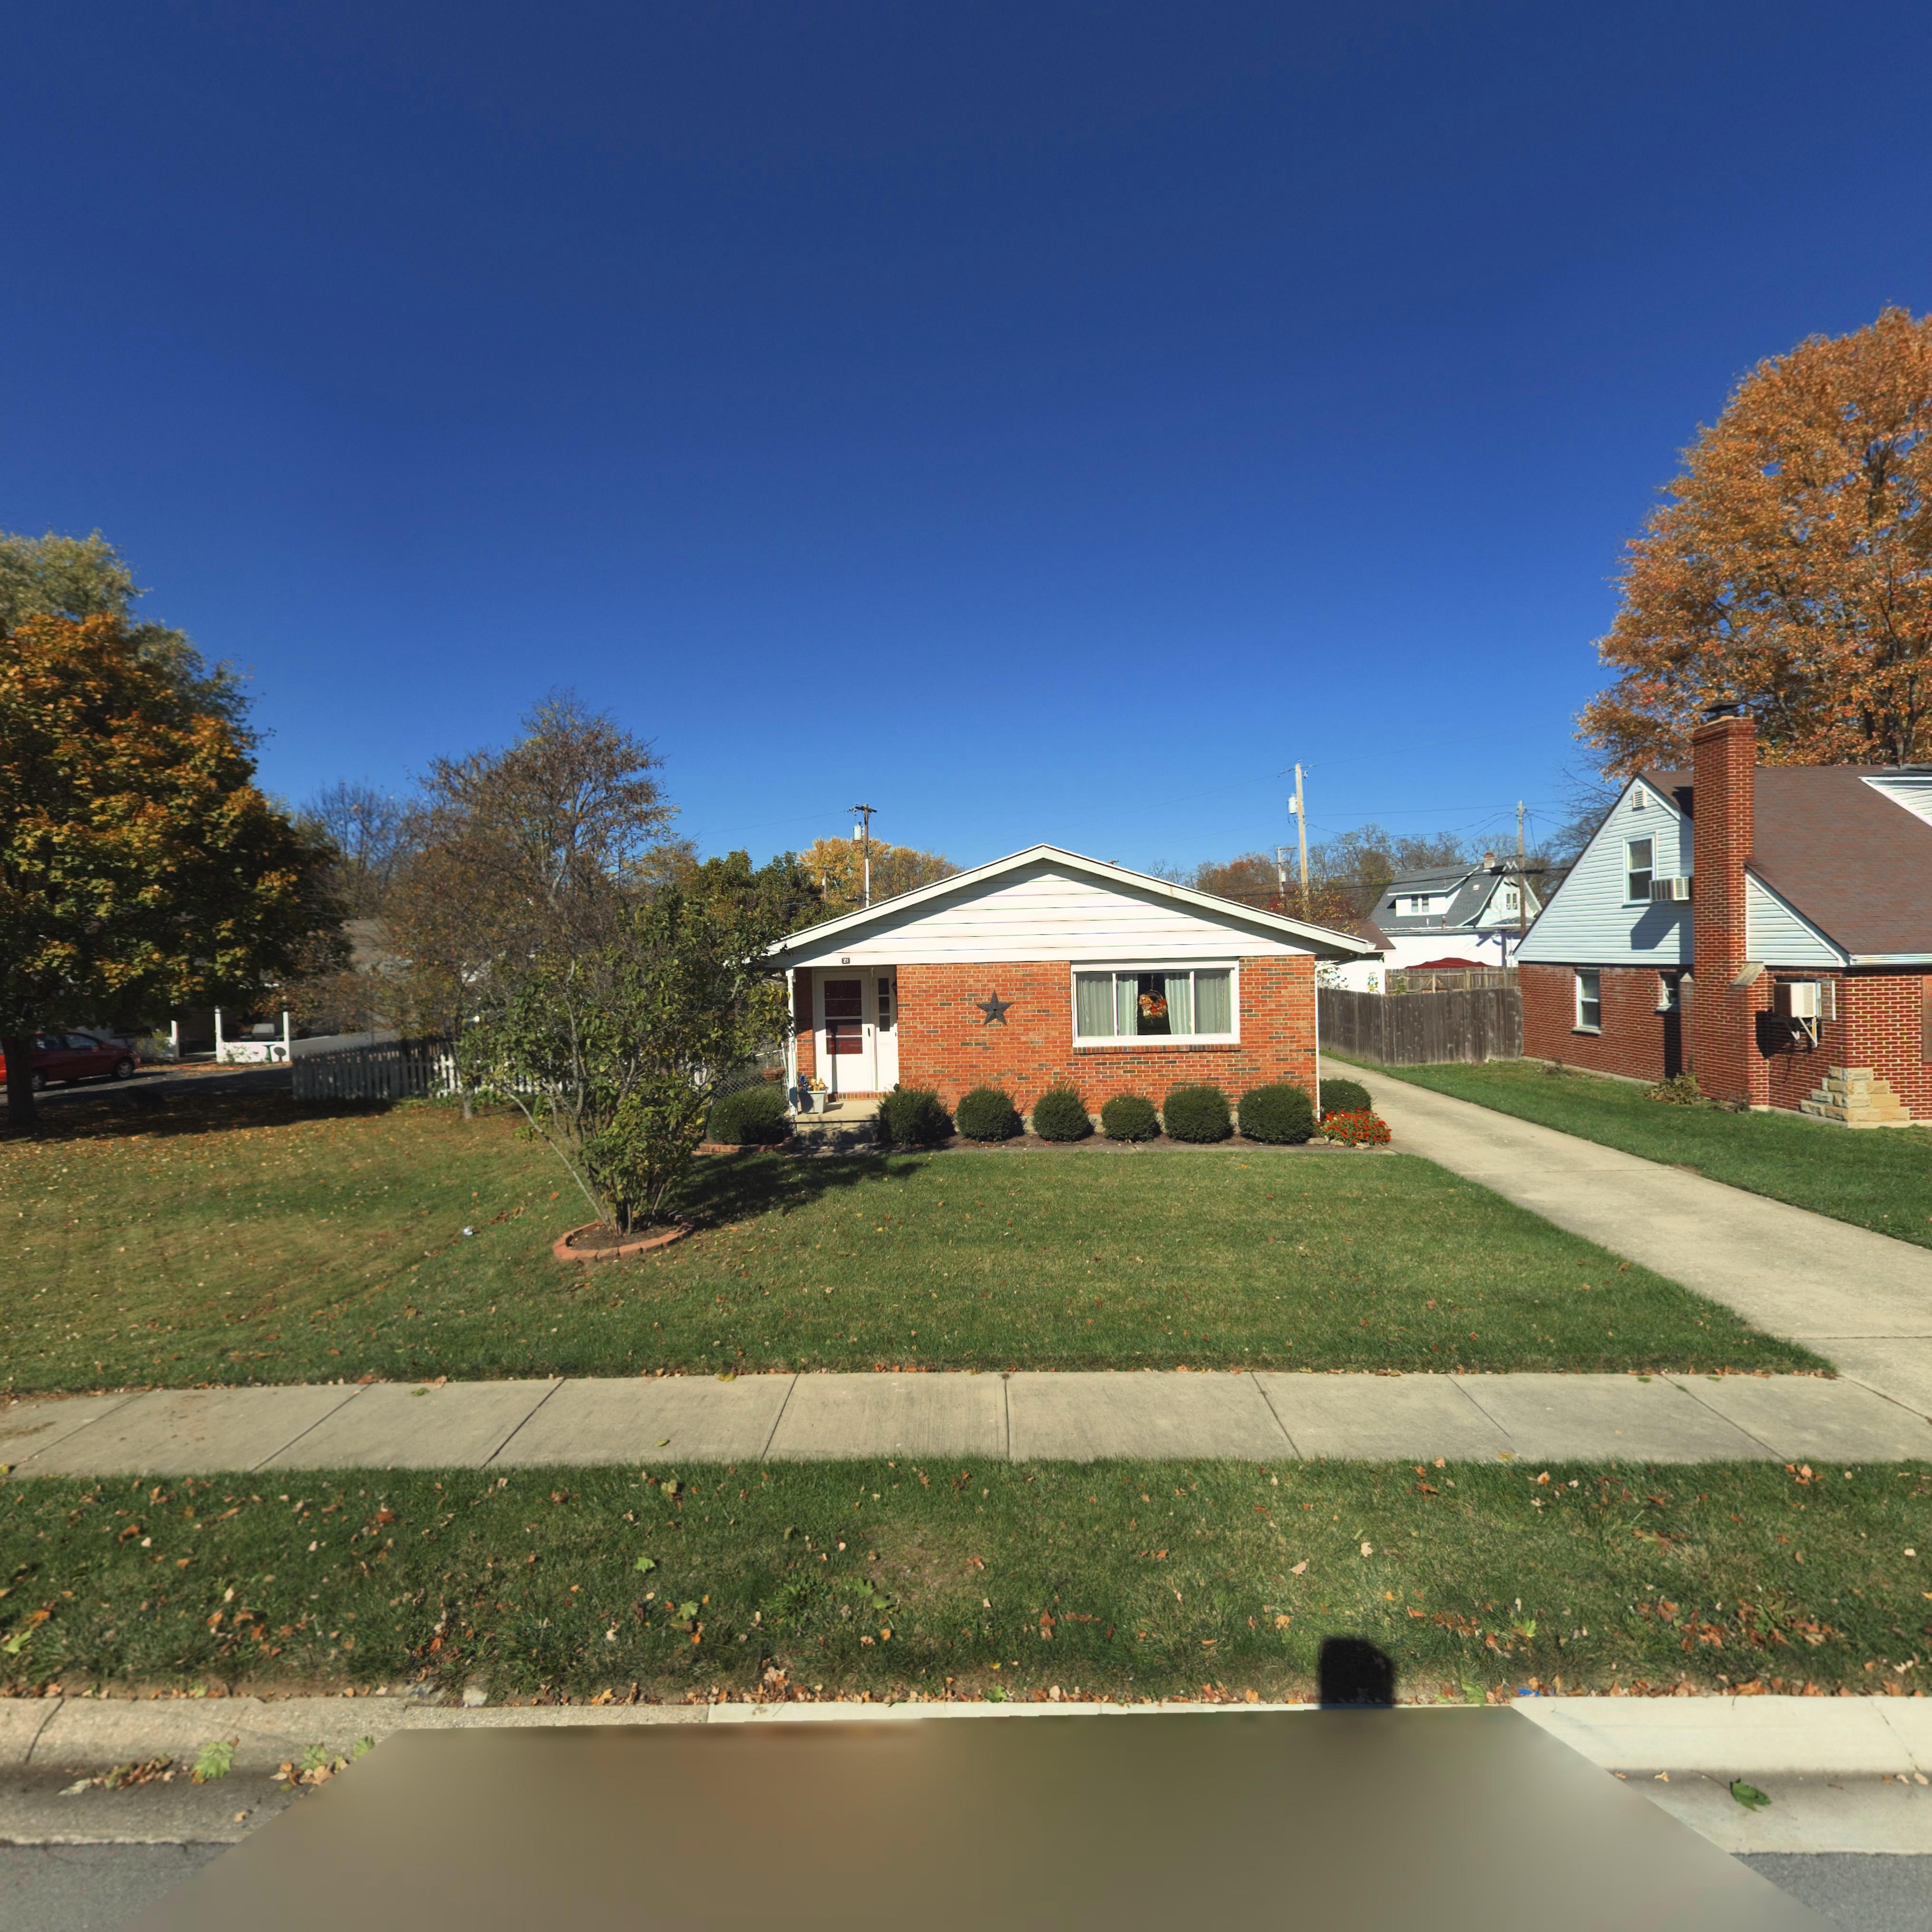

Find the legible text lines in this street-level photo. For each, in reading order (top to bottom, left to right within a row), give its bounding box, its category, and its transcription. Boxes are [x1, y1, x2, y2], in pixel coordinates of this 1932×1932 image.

[842, 957, 850, 964] StreetNumber: 21